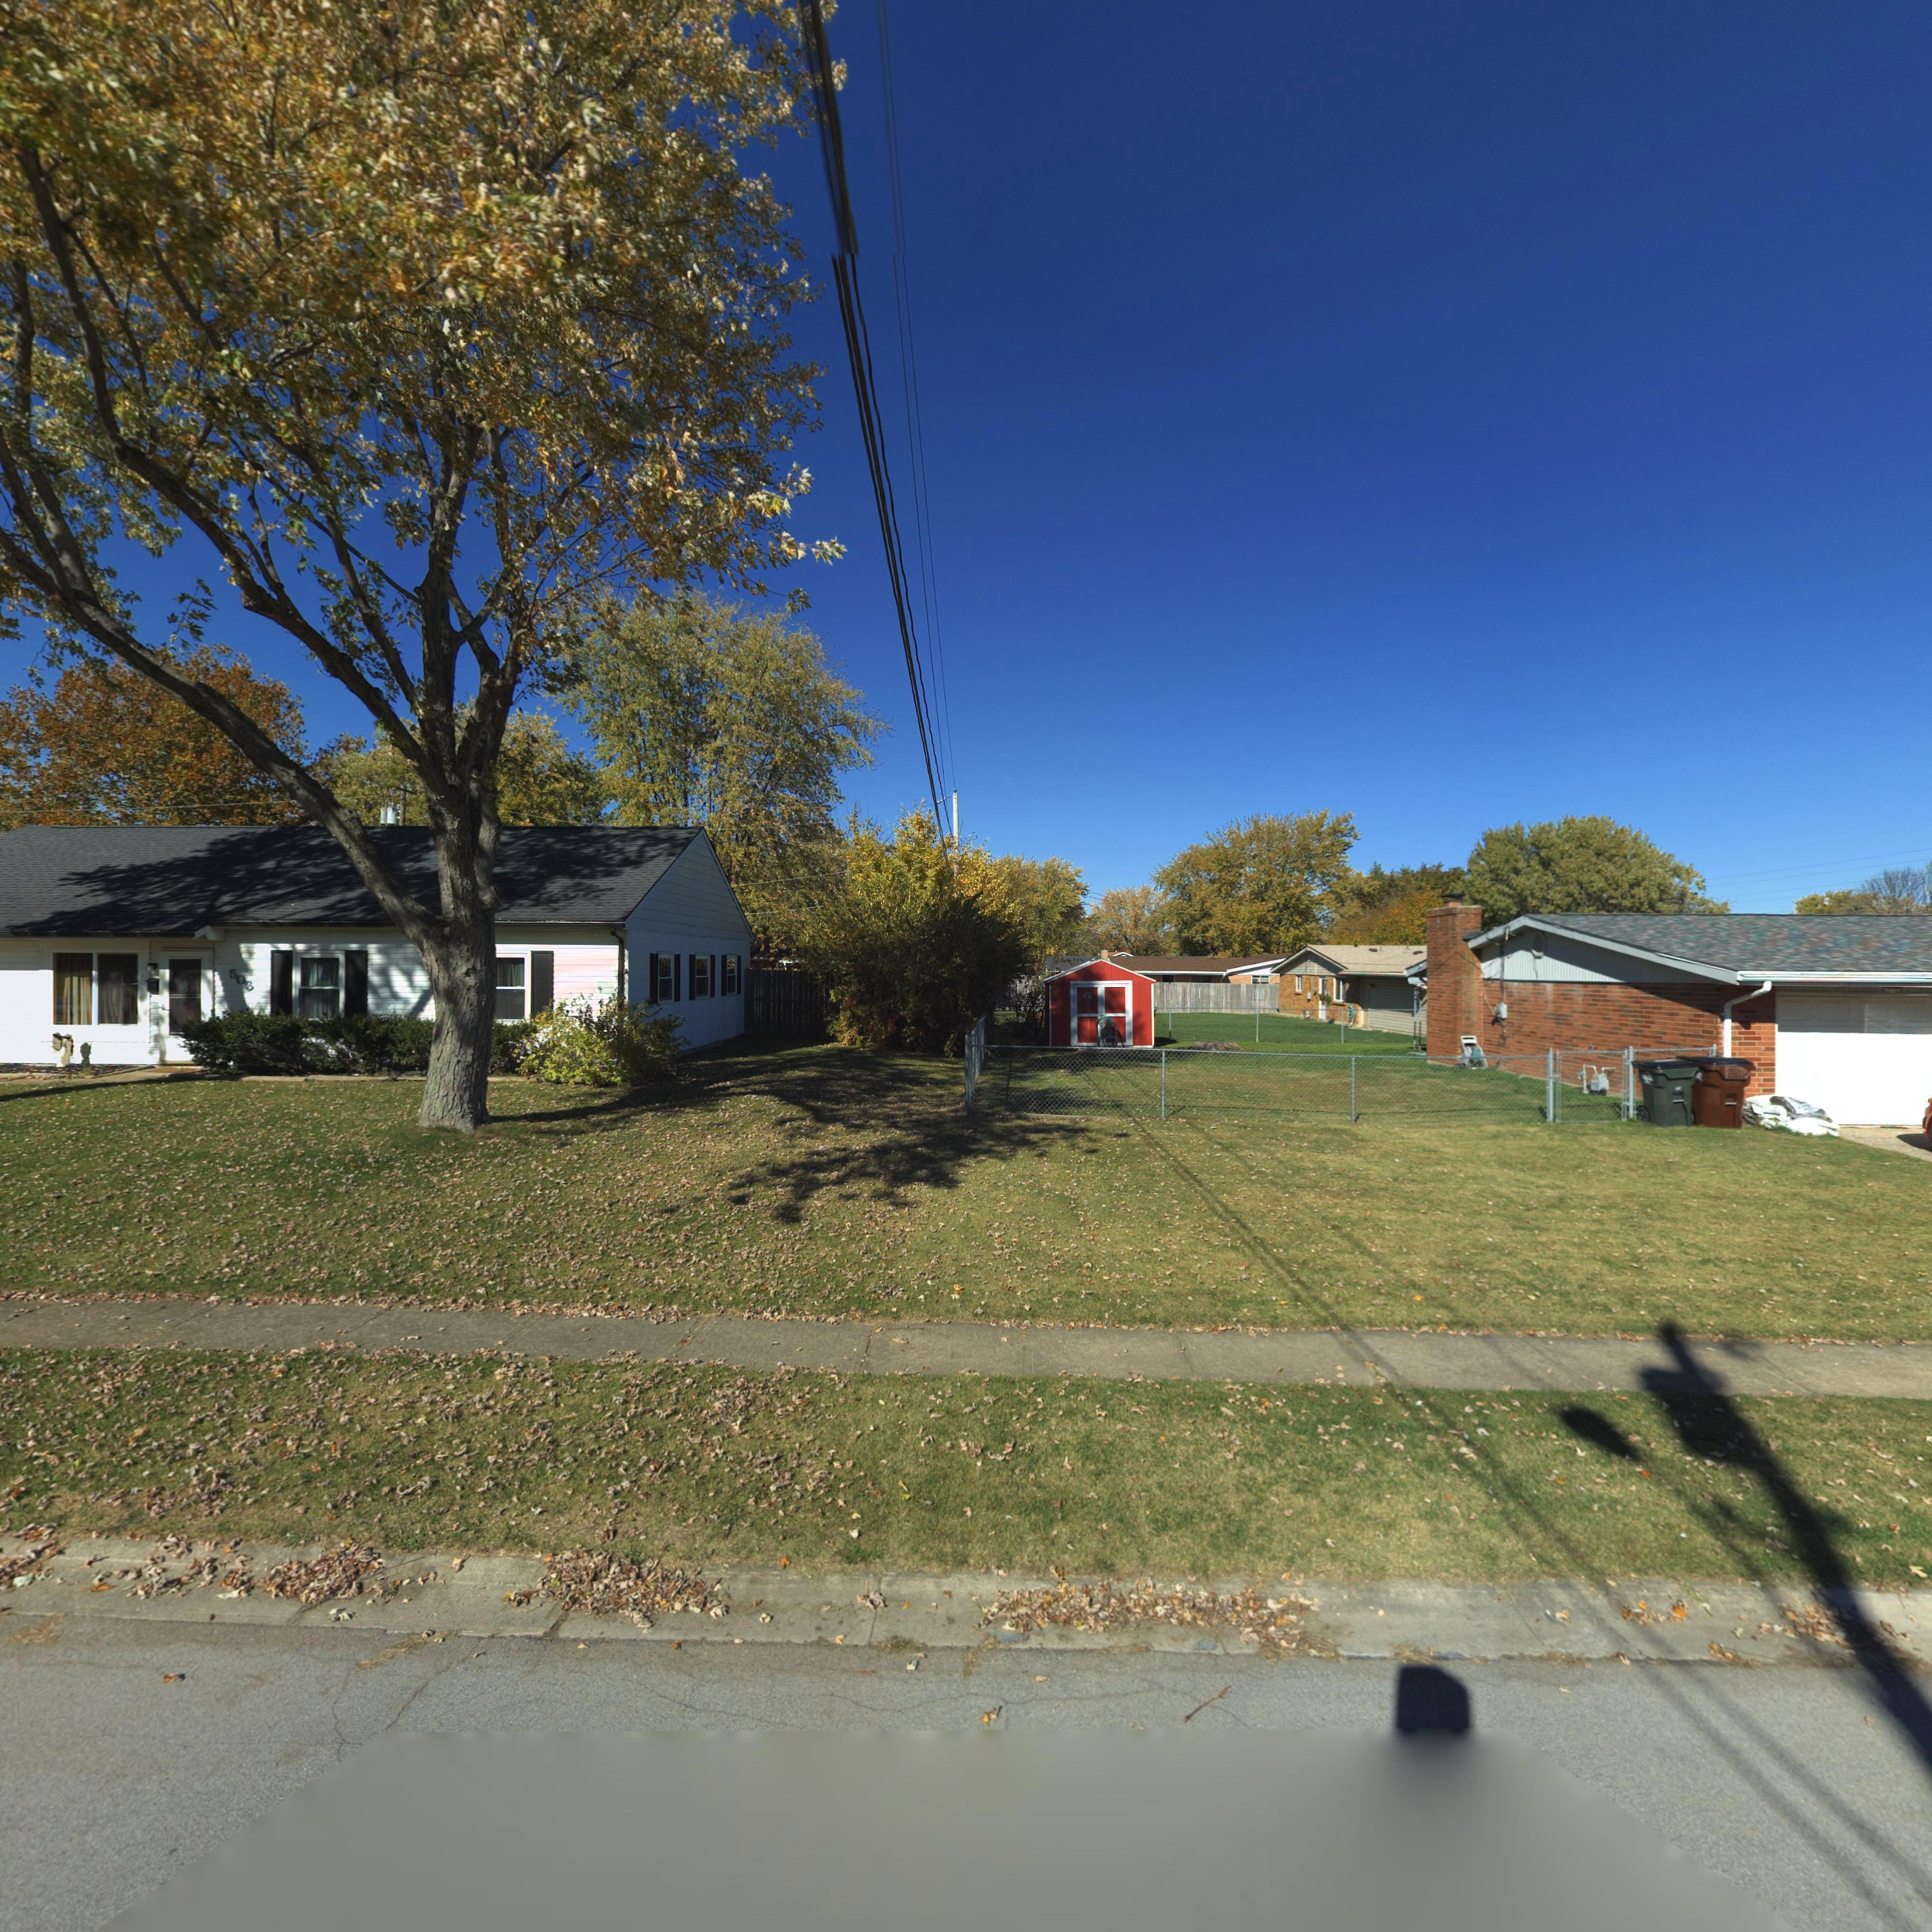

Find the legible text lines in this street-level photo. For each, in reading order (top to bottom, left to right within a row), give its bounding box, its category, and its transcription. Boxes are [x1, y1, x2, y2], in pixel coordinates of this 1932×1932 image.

[229, 968, 255, 992] StreetNumber: 503